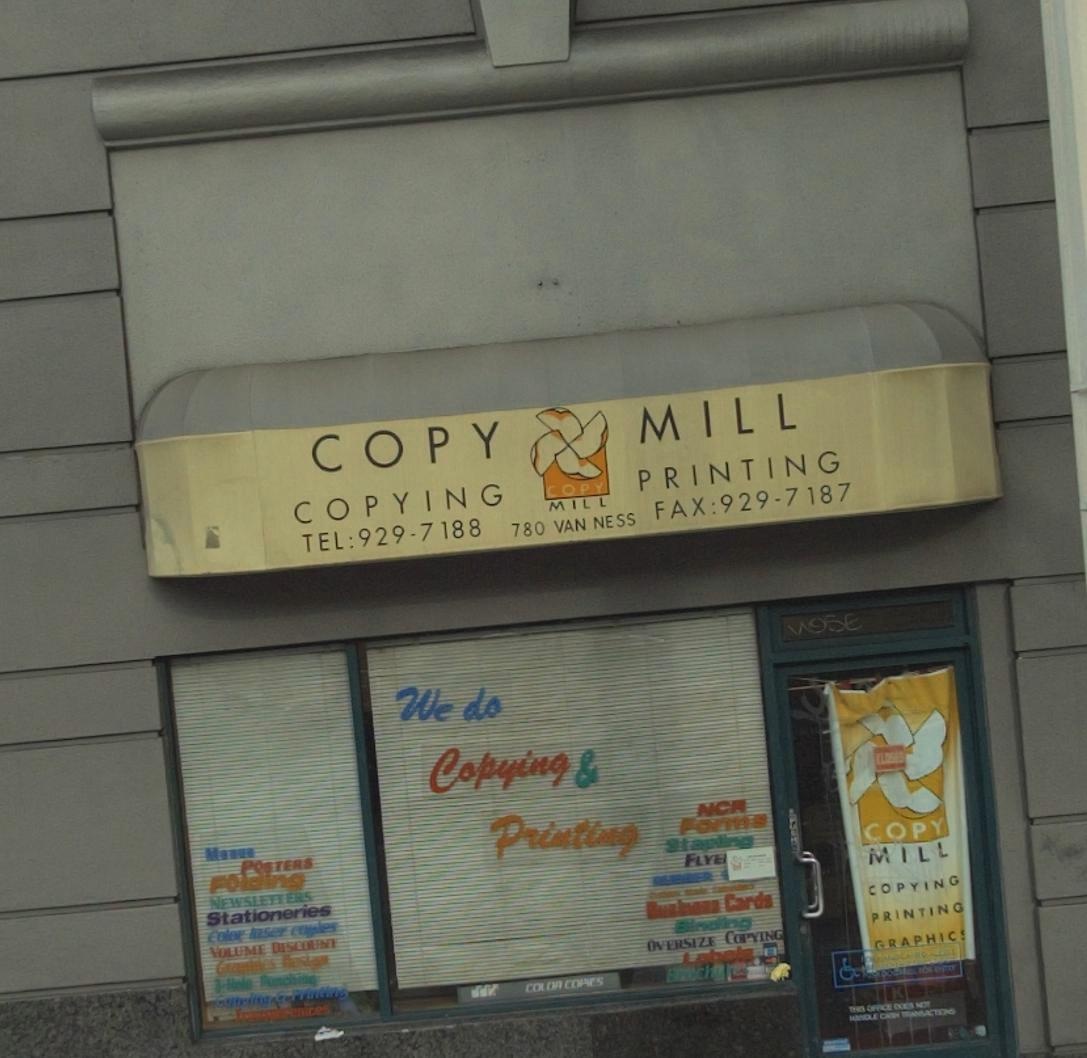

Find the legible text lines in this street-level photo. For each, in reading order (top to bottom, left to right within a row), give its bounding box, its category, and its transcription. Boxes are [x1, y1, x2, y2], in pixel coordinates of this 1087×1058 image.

[309, 392, 799, 474] BusinessName: COPY * MILL
[637, 449, 841, 494] None: PRINTING
[292, 482, 505, 525] None: COPYING
[544, 480, 606, 499] BusinessName: COPY
[548, 496, 608, 513] BusinessName: MILL
[653, 481, 852, 521] None: FAX:929-7187
[300, 517, 482, 554] None: TEL:929-7188
[510, 520, 546, 539] StreetNumber: 780
[552, 511, 637, 535] StreetName: VAN NESS
[393, 684, 502, 723] None: We do
[427, 746, 573, 796] None: Copying
[696, 798, 748, 818] None: NCR
[239, 857, 313, 876] None: POSTERS
[488, 813, 641, 861] None: Printing
[683, 852, 724, 867] None: FLYE
[663, 833, 754, 854] None: Stapling
[678, 814, 769, 837] None: Forms
[863, 816, 945, 843] BusinessName: COPY
[868, 840, 950, 866] BusinessName: MILL
[208, 872, 306, 895] None: Folding
[868, 874, 960, 898] None: COPYING
[209, 890, 315, 911] None: NEWSLETTERS
[206, 904, 334, 927] None: Stationeries
[645, 890, 774, 921] None: Business Cards
[672, 915, 753, 934] None: Binding
[870, 900, 965, 924] None: PRINTING
[208, 936, 340, 960] None: VOLUME DISCOUNT
[646, 929, 784, 953] None: OVERSIZE COPYING
[873, 930, 958, 951] None: GRAPHIC
[524, 976, 604, 994] None: COLOR COPIES